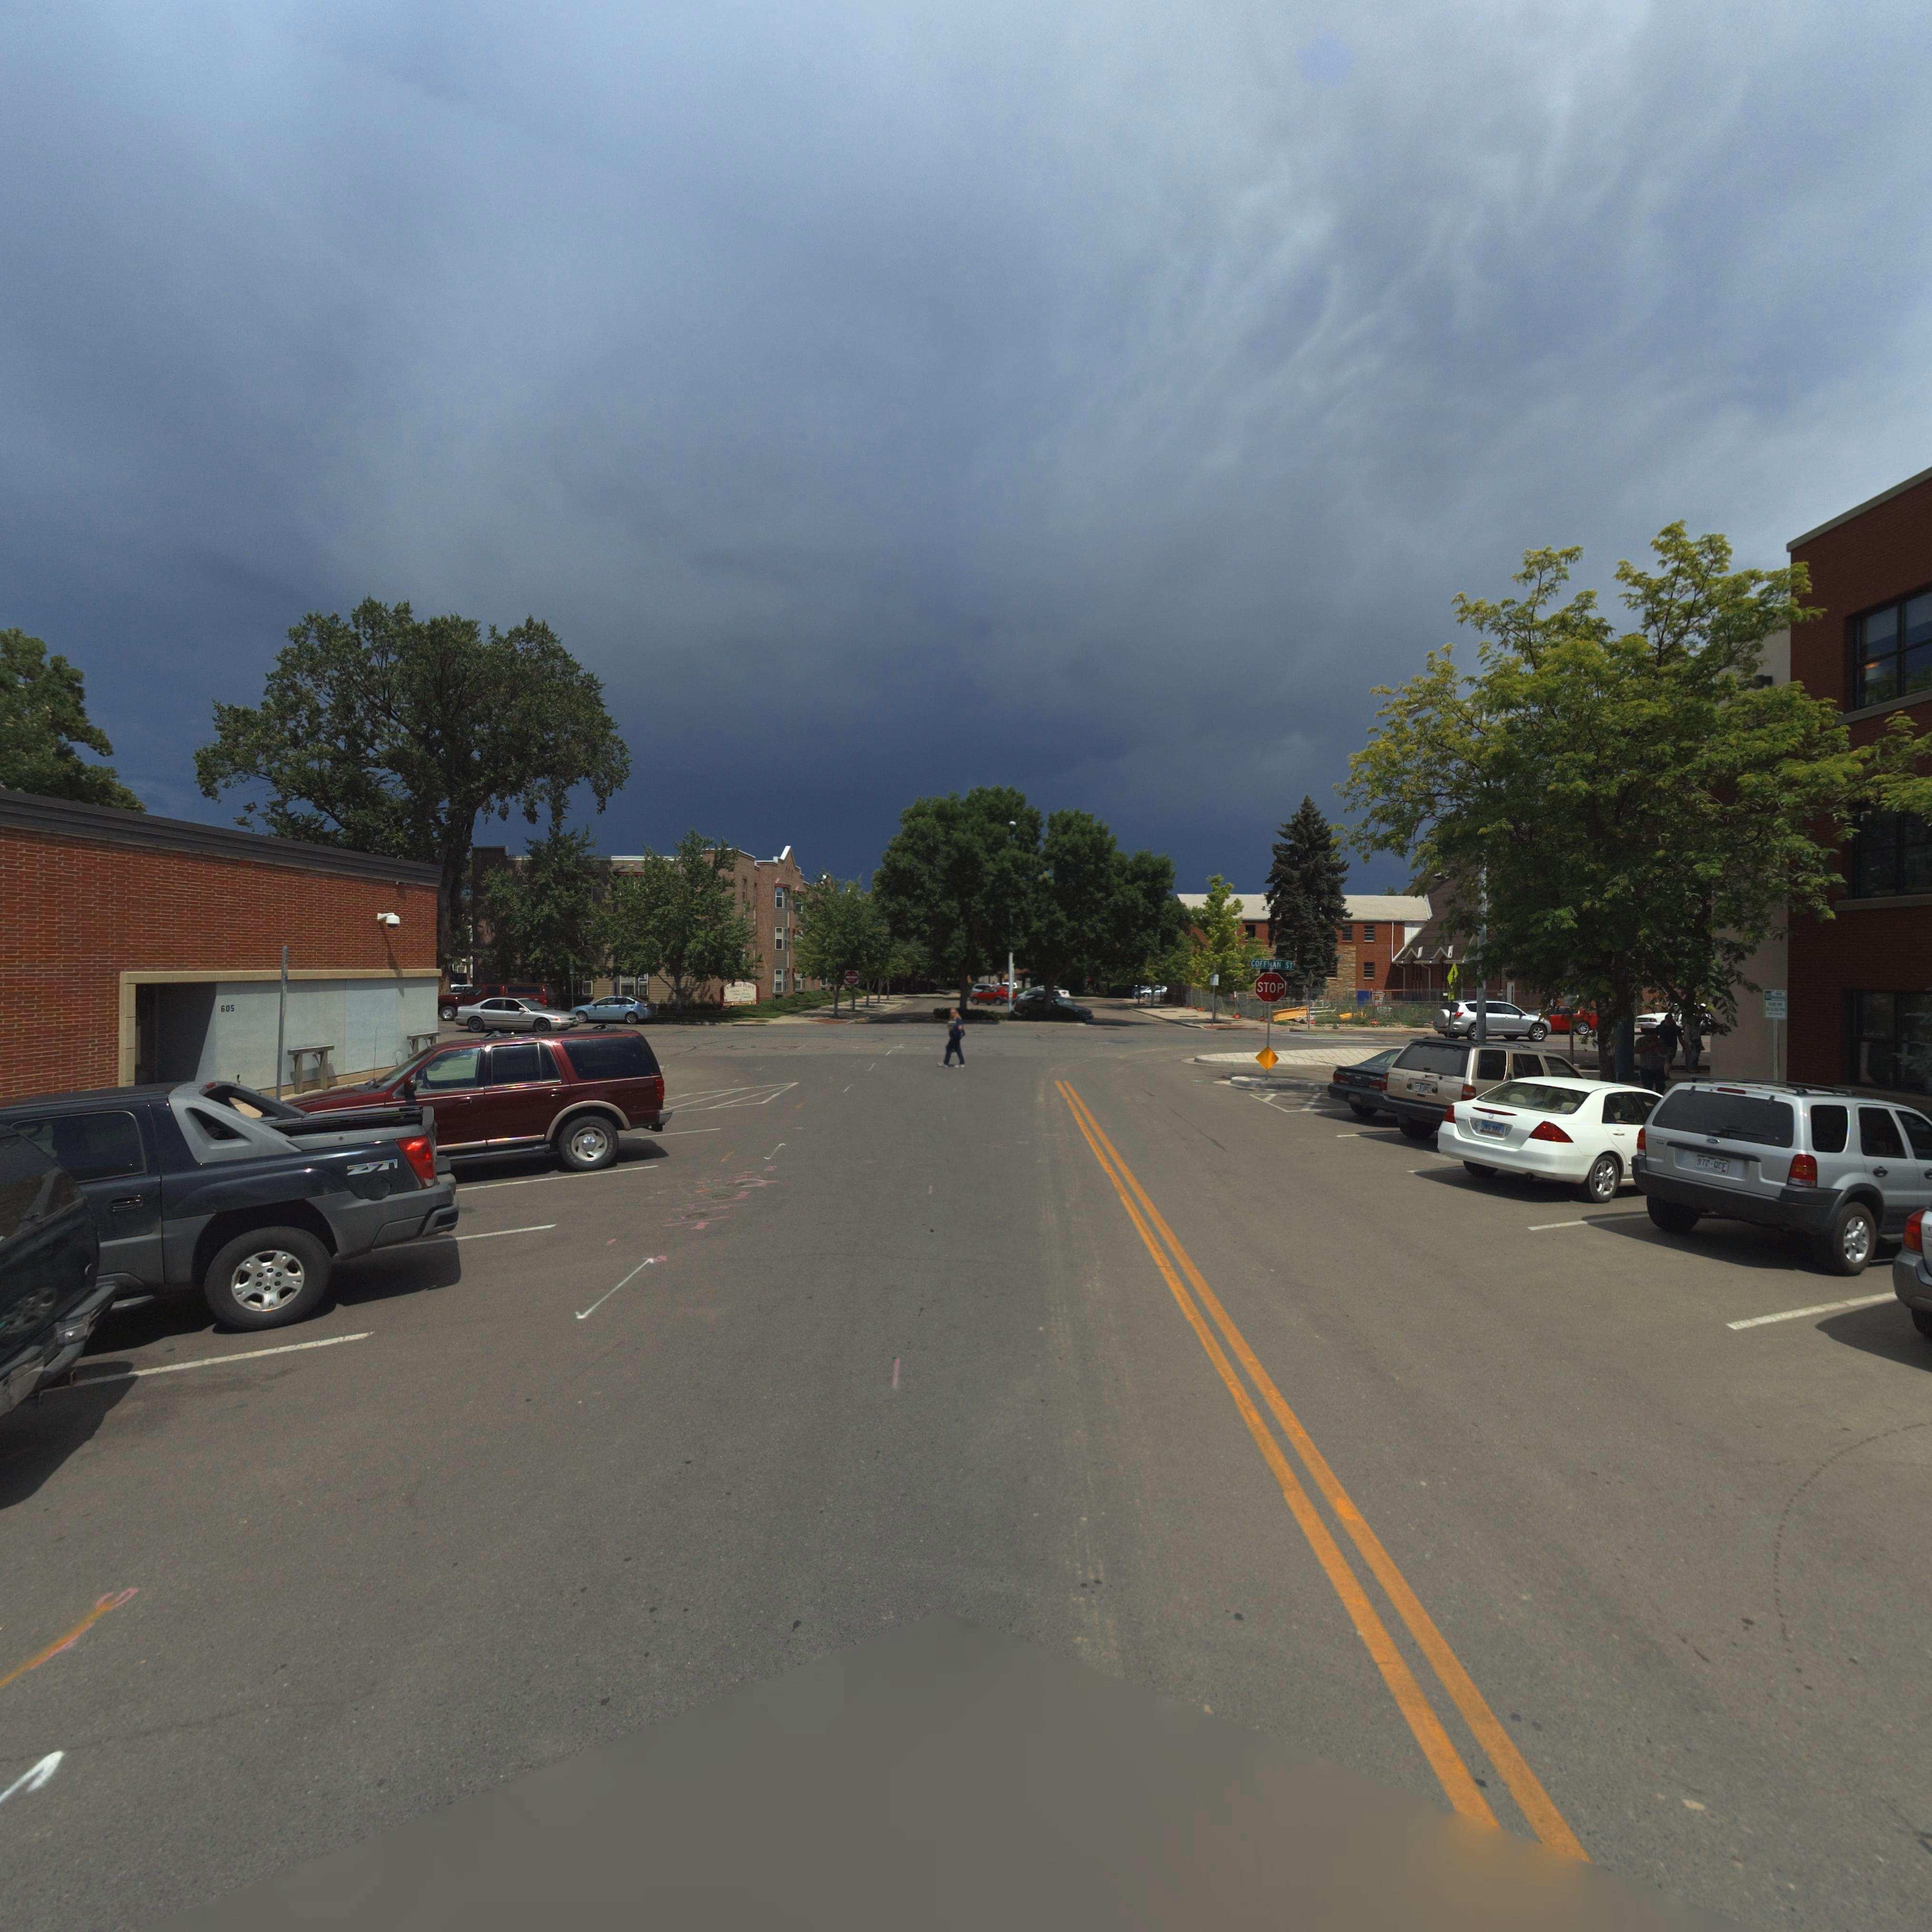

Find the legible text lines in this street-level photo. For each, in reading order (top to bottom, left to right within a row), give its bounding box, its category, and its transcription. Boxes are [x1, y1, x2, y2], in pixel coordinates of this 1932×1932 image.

[1251, 959, 1294, 969] StreetName: COFFMAN ST
[724, 982, 754, 990] BusinessName: VI**AG* PL*C*
[220, 1004, 234, 1012] StreetNumber: 605